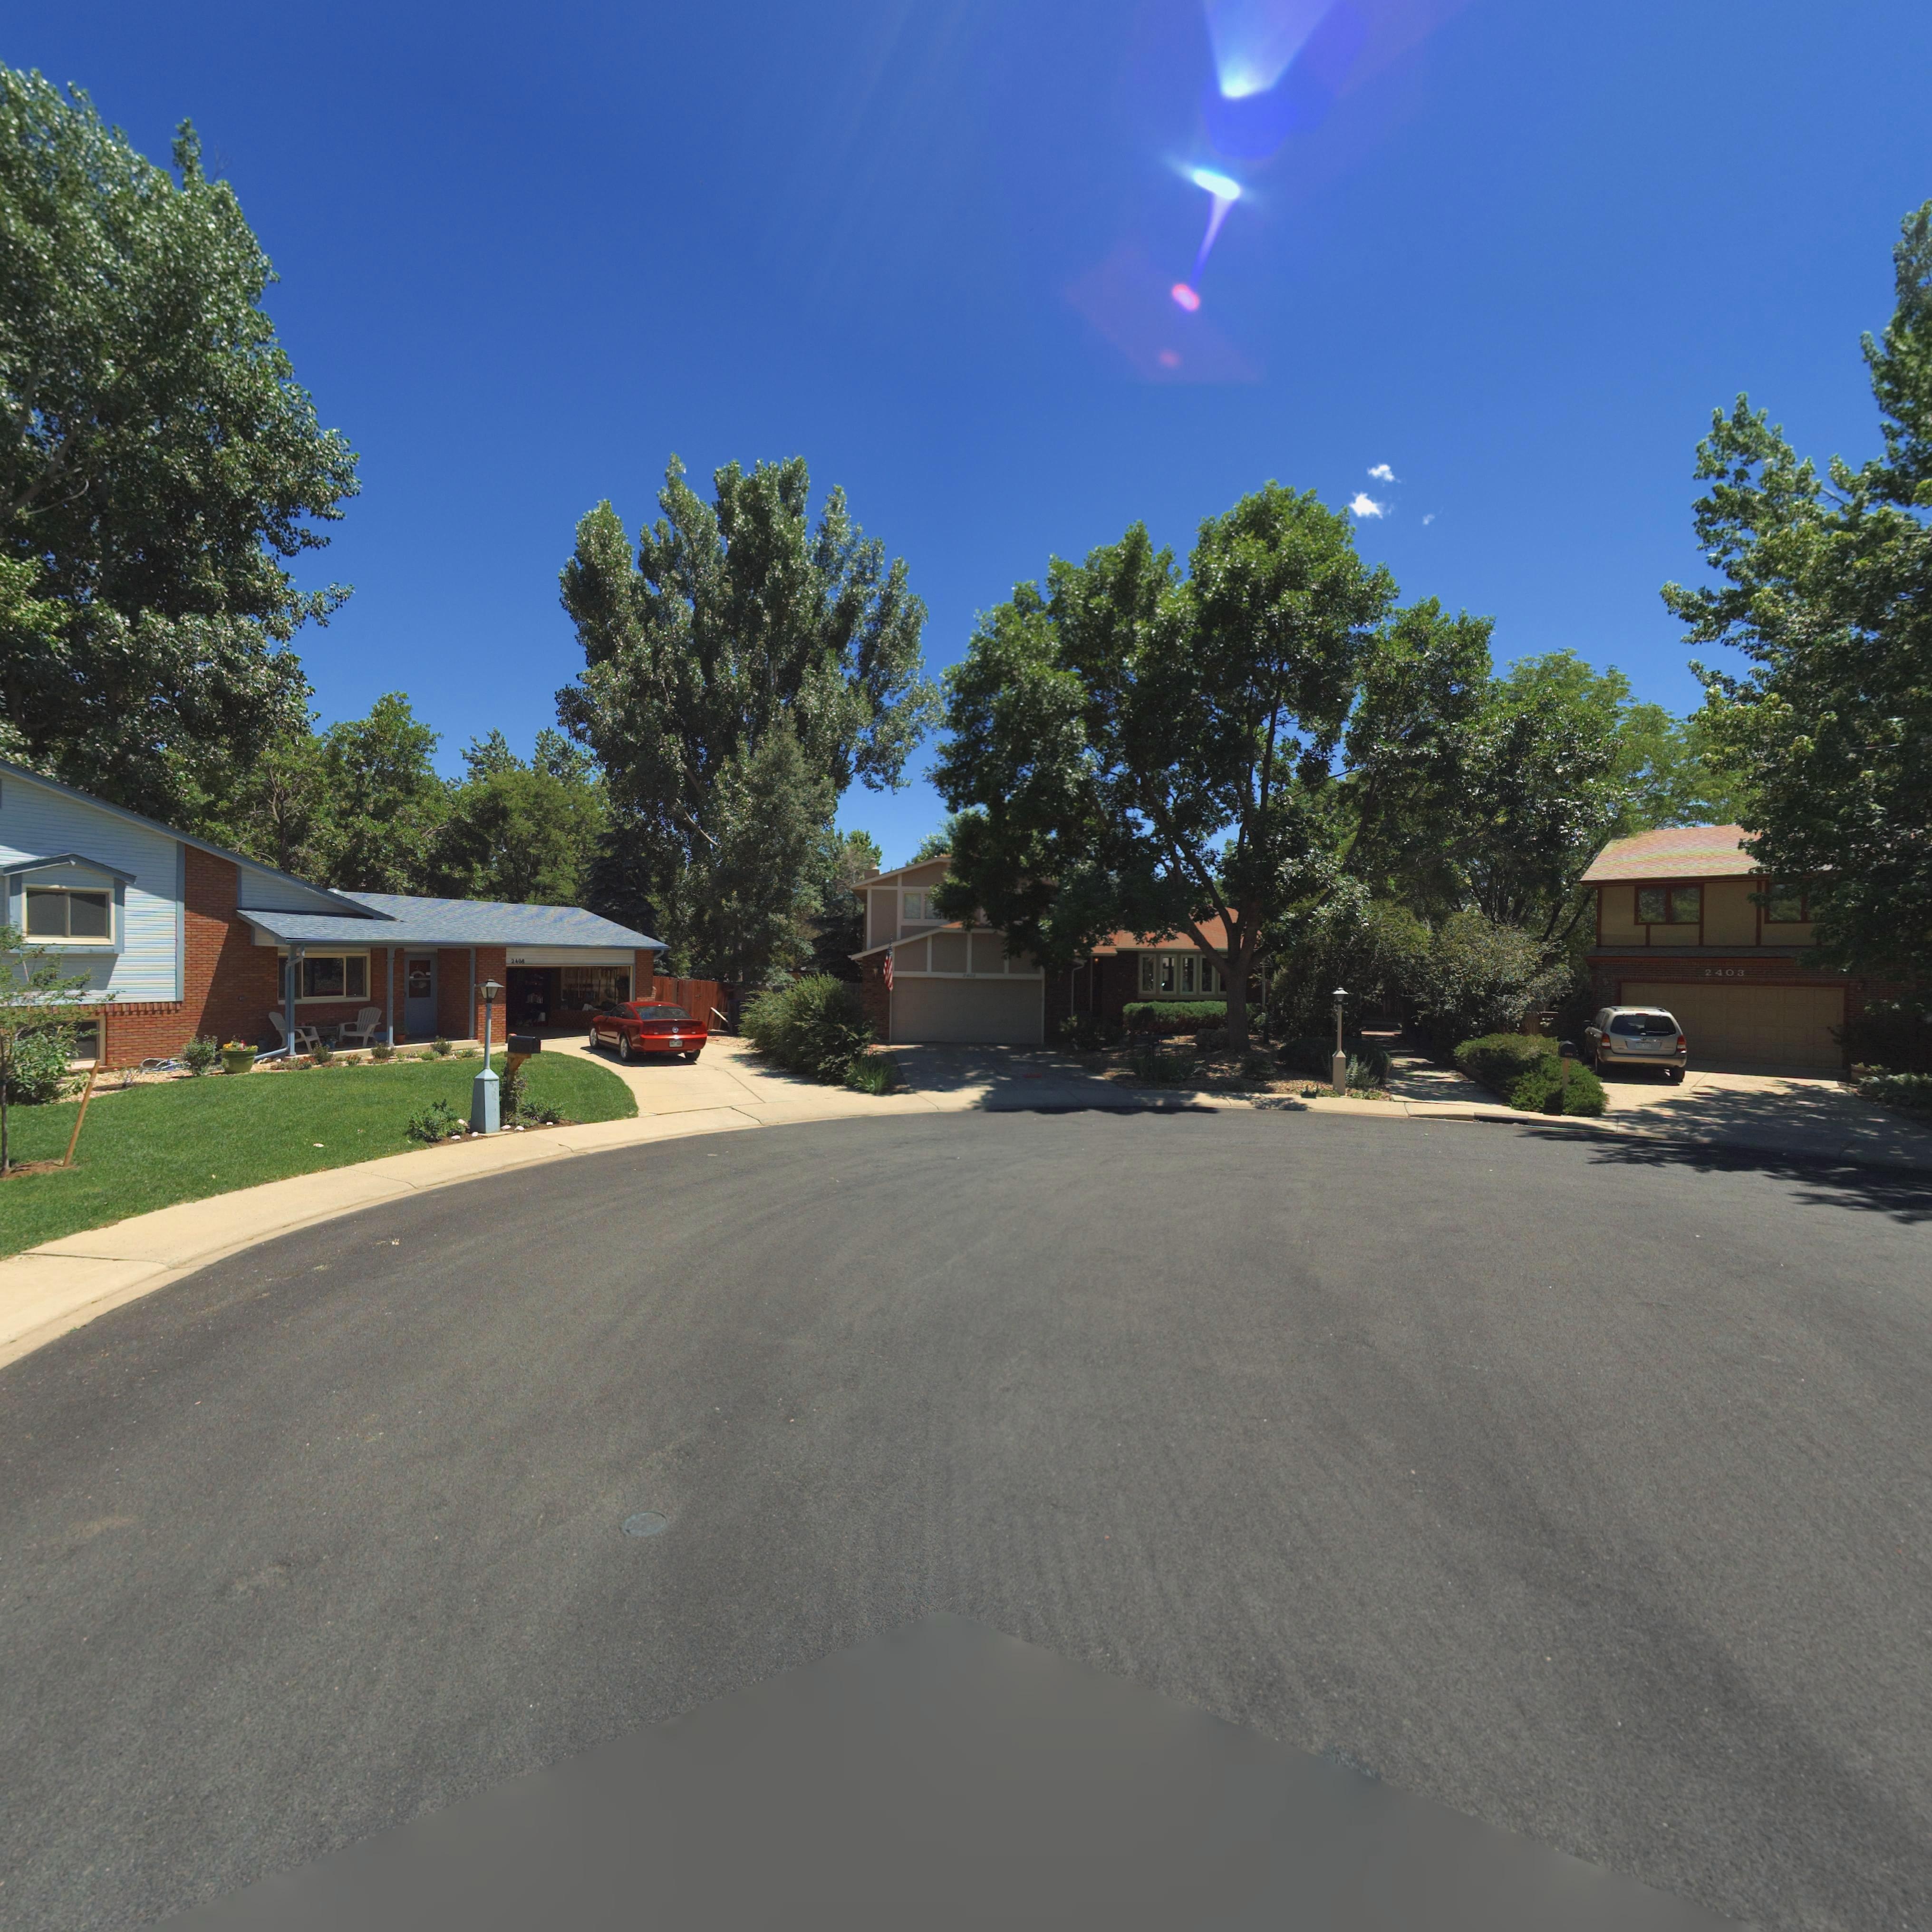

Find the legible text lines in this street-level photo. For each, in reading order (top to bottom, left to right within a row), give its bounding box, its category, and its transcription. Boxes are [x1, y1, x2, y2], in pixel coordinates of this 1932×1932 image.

[511, 958, 525, 964] StreetNumber: 2408
[961, 973, 976, 978] StreetNumber: 2***
[1704, 968, 1744, 976] BusinessName: 2403